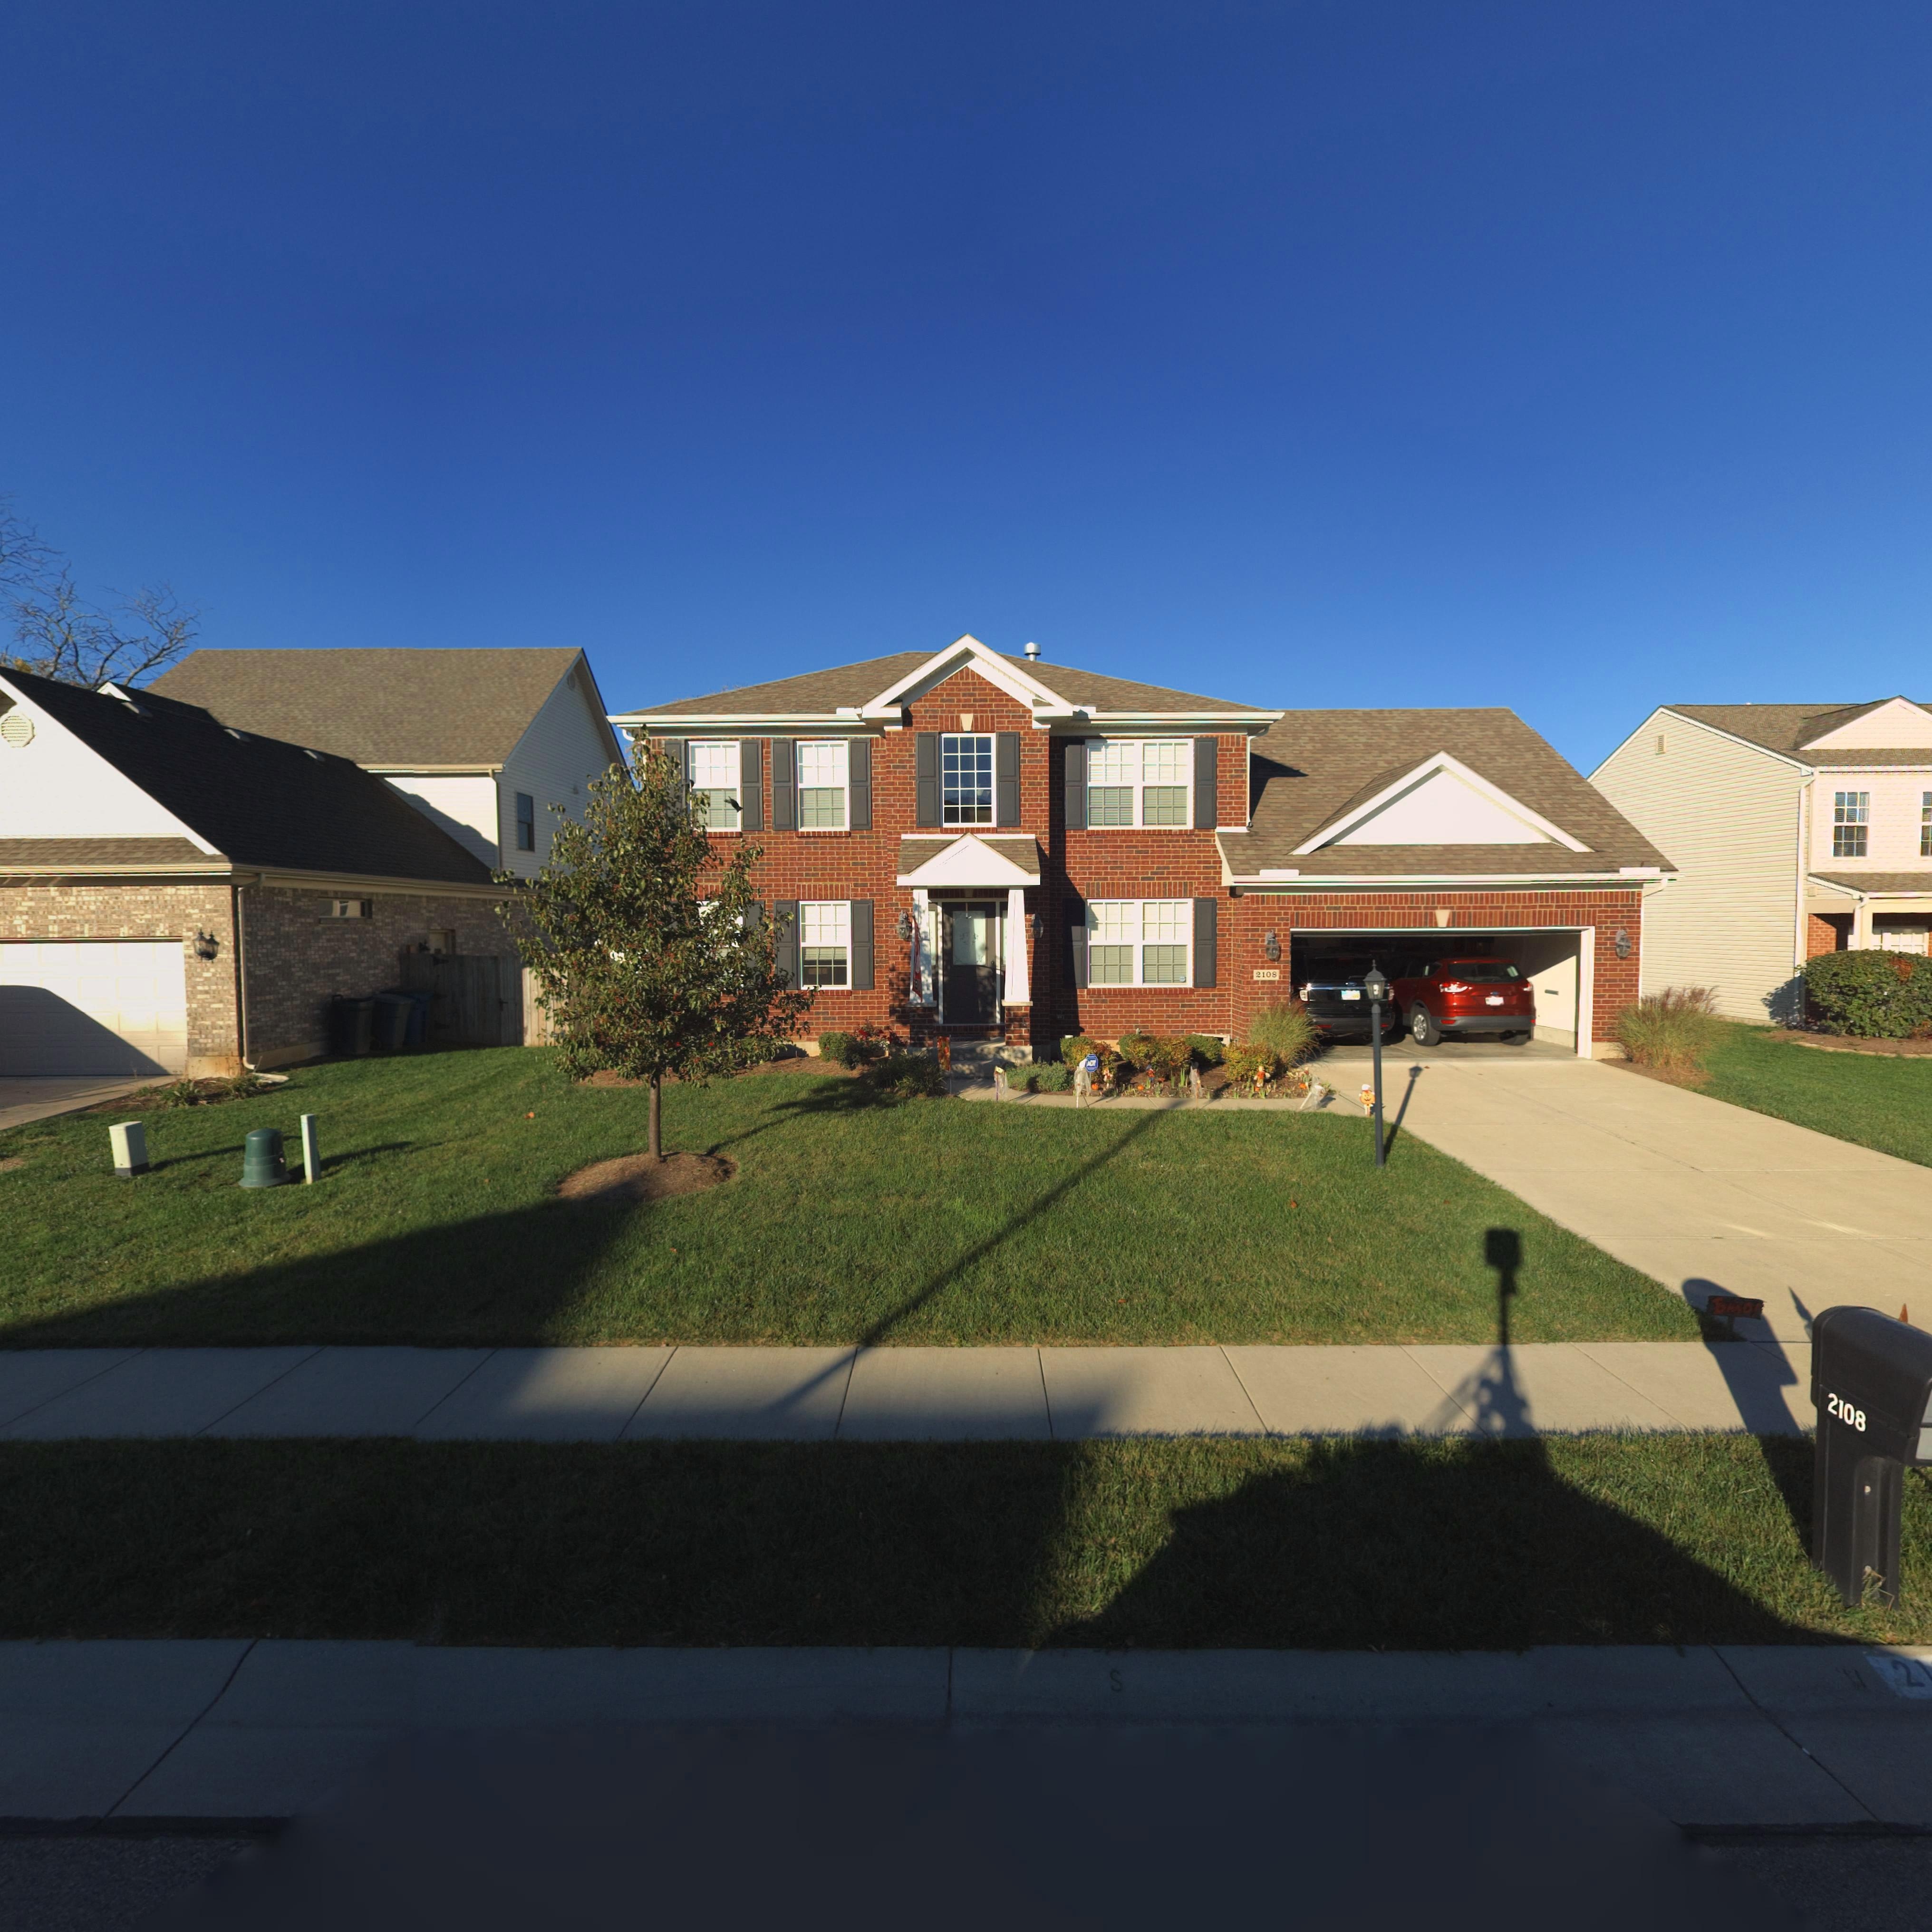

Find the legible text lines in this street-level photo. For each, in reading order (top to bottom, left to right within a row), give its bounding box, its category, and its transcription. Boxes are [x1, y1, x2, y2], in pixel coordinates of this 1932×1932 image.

[1255, 970, 1278, 979] StreetNumber: 2108